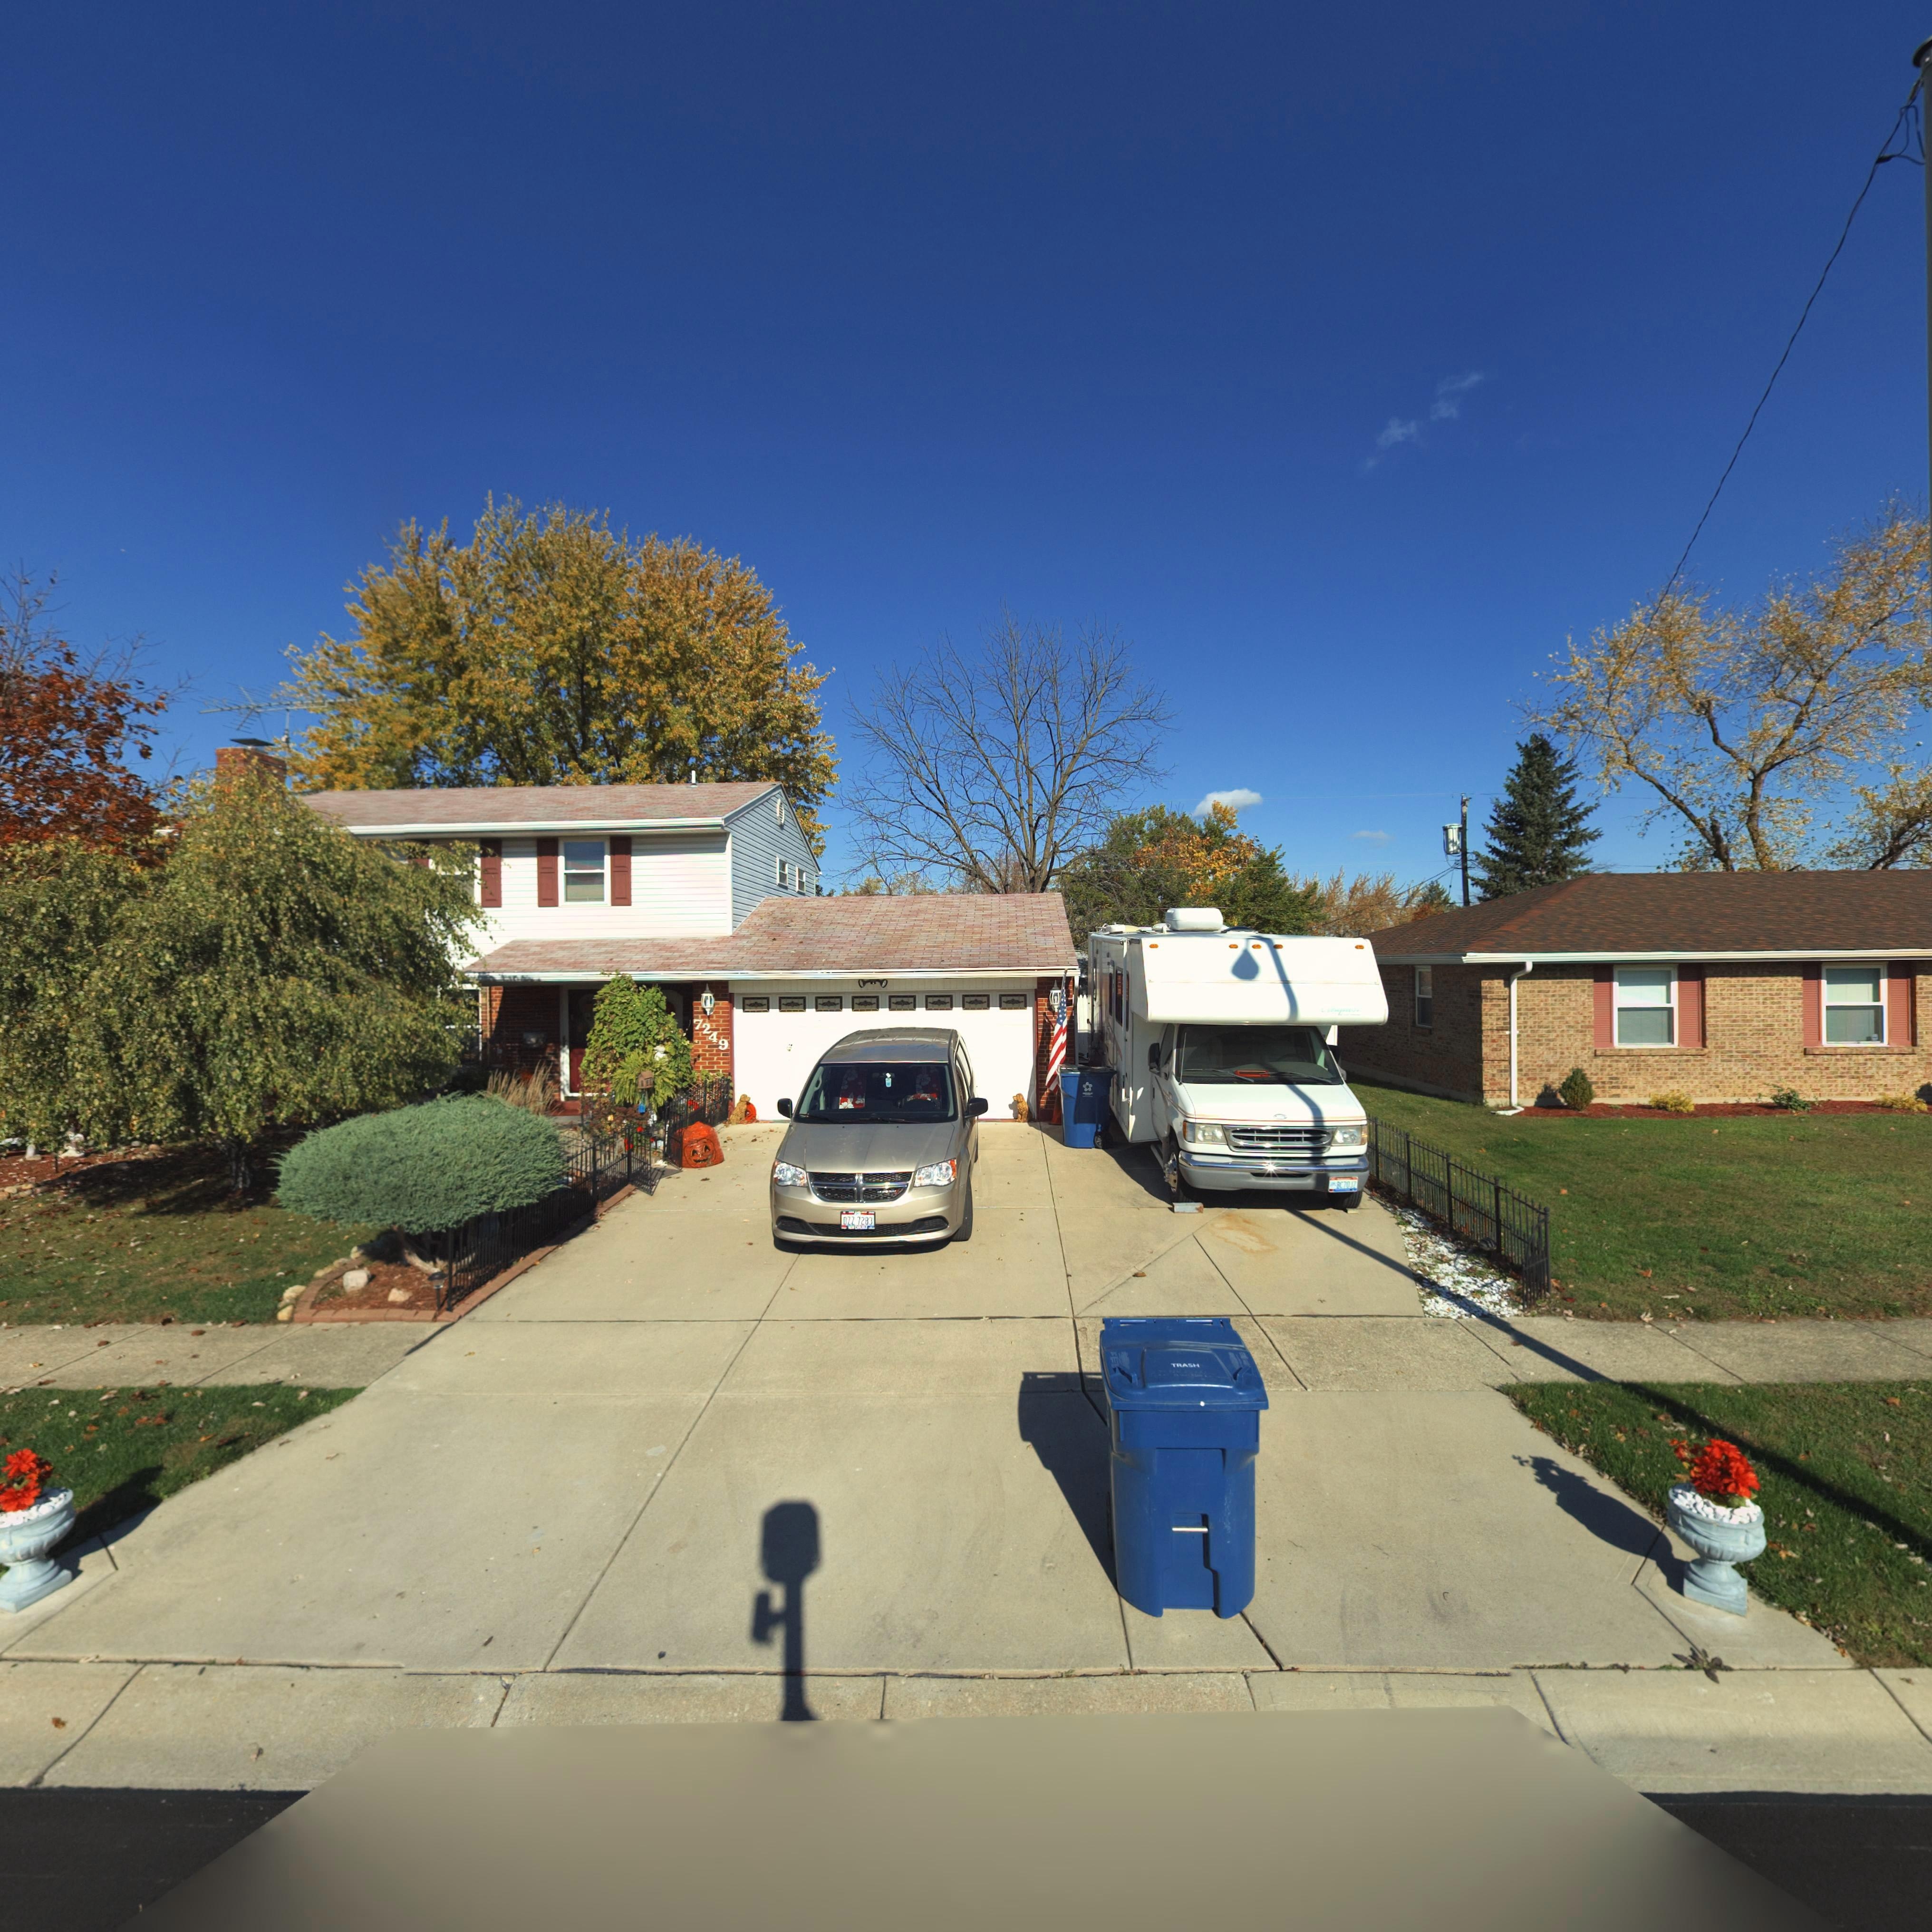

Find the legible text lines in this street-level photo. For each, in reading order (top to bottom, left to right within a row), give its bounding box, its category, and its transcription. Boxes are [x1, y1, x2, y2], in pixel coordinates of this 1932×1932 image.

[692, 1017, 730, 1052] StreetNumber: 7249